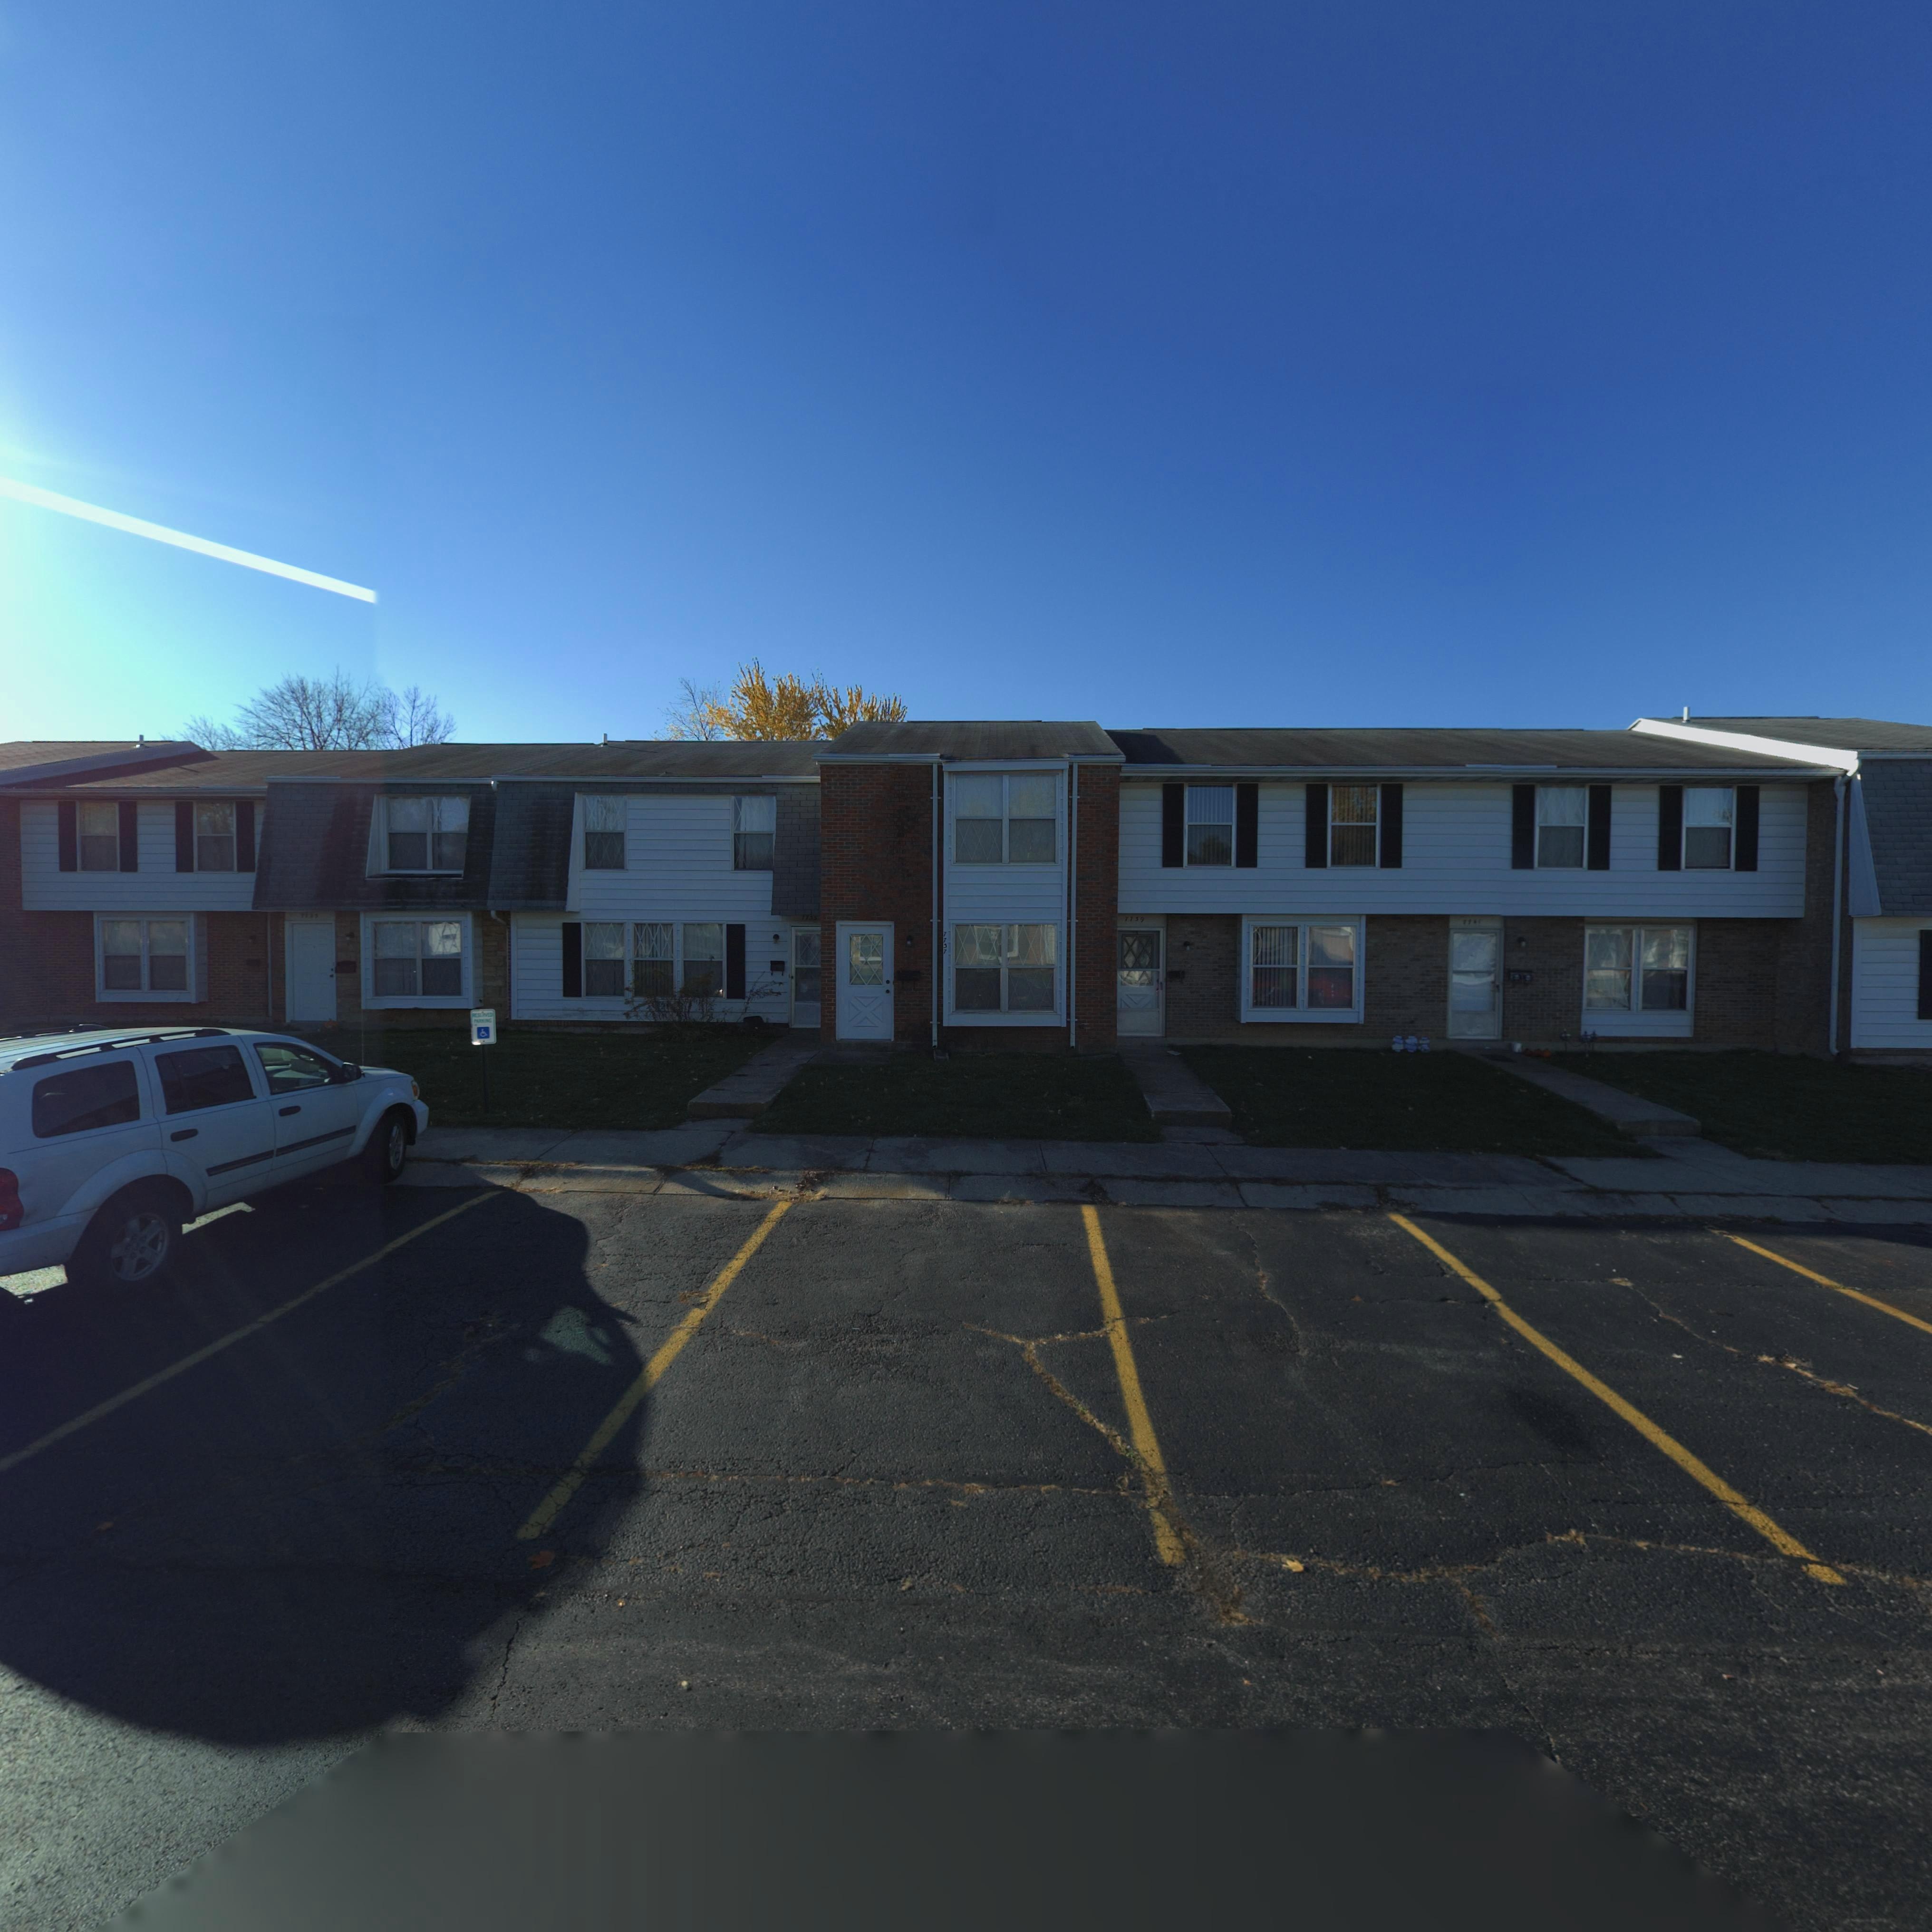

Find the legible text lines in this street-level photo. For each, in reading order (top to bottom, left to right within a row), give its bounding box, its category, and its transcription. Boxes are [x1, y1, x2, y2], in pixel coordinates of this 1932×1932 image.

[300, 913, 319, 918] StreetNumber: 7733
[801, 914, 819, 921] StreetNumber: 7735
[1124, 916, 1145, 923] StreetNumber: 7739
[1461, 918, 1482, 926] StreetNumber: 7741
[943, 931, 947, 955] StreetNumber: 7737